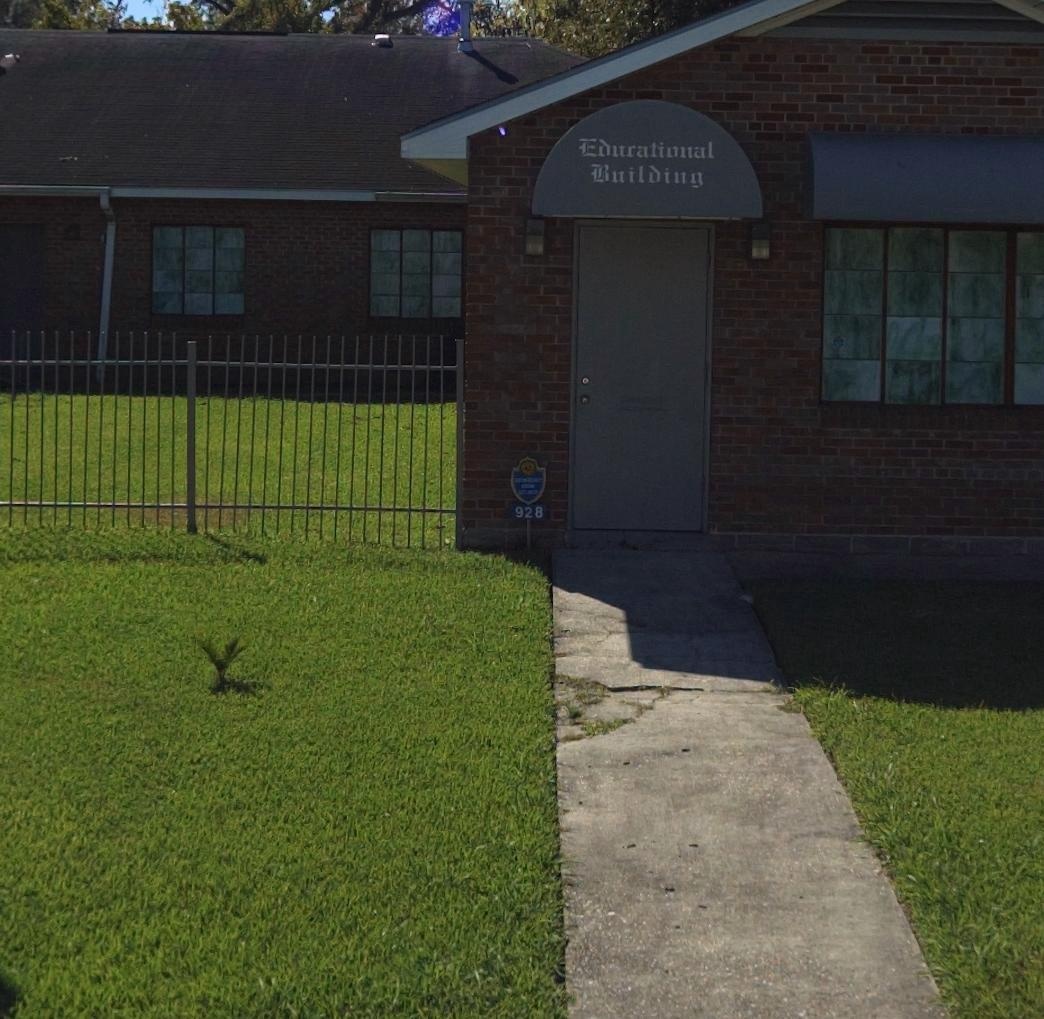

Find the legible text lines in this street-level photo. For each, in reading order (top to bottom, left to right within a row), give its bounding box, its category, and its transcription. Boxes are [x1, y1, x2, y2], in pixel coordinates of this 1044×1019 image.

[576, 135, 717, 162] None: Educational
[589, 161, 705, 192] None: Building
[513, 504, 546, 521] StreetNumber: 928